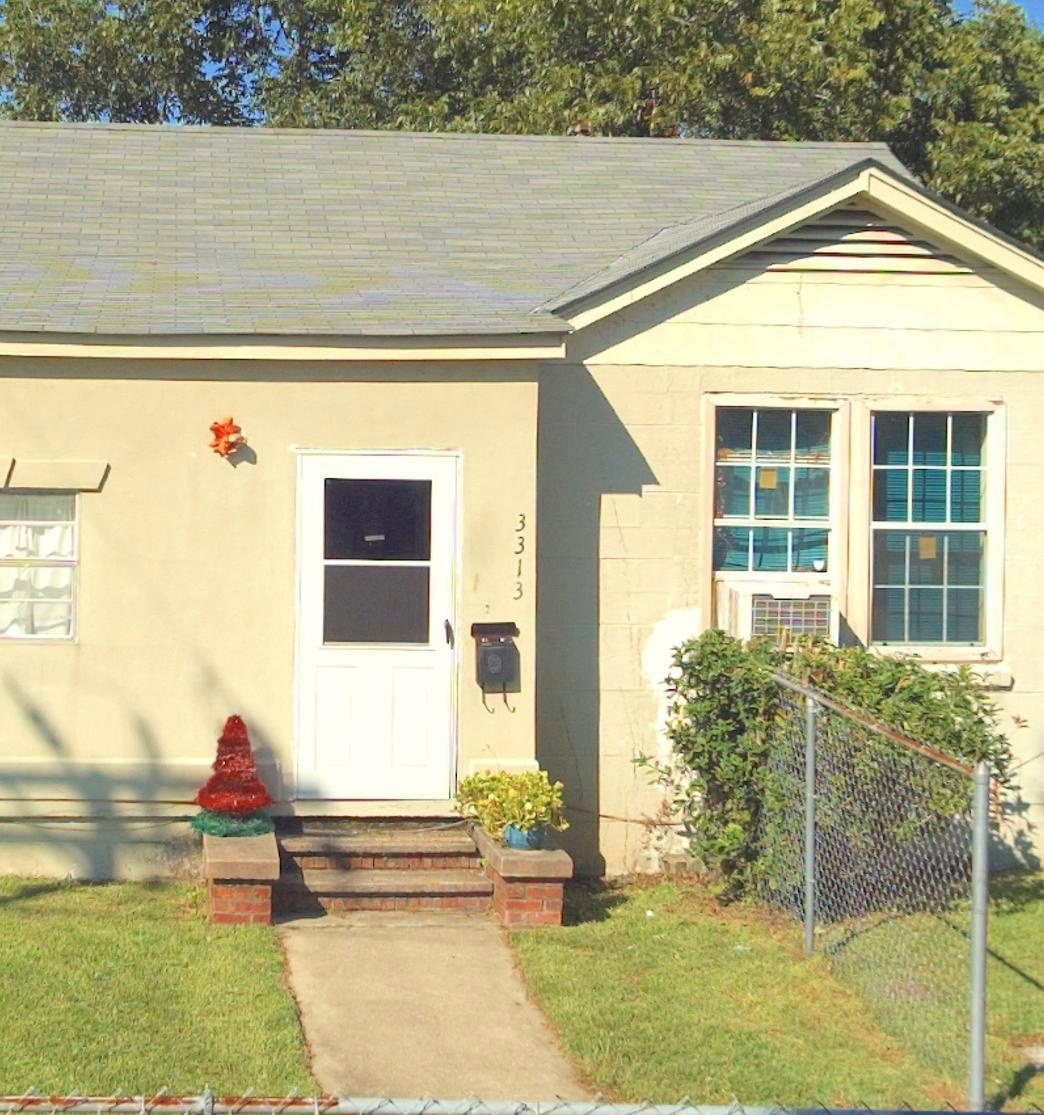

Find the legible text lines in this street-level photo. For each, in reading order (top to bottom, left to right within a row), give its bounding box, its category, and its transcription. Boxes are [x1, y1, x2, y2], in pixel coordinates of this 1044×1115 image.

[511, 511, 529, 603] StreetNumber: 3313